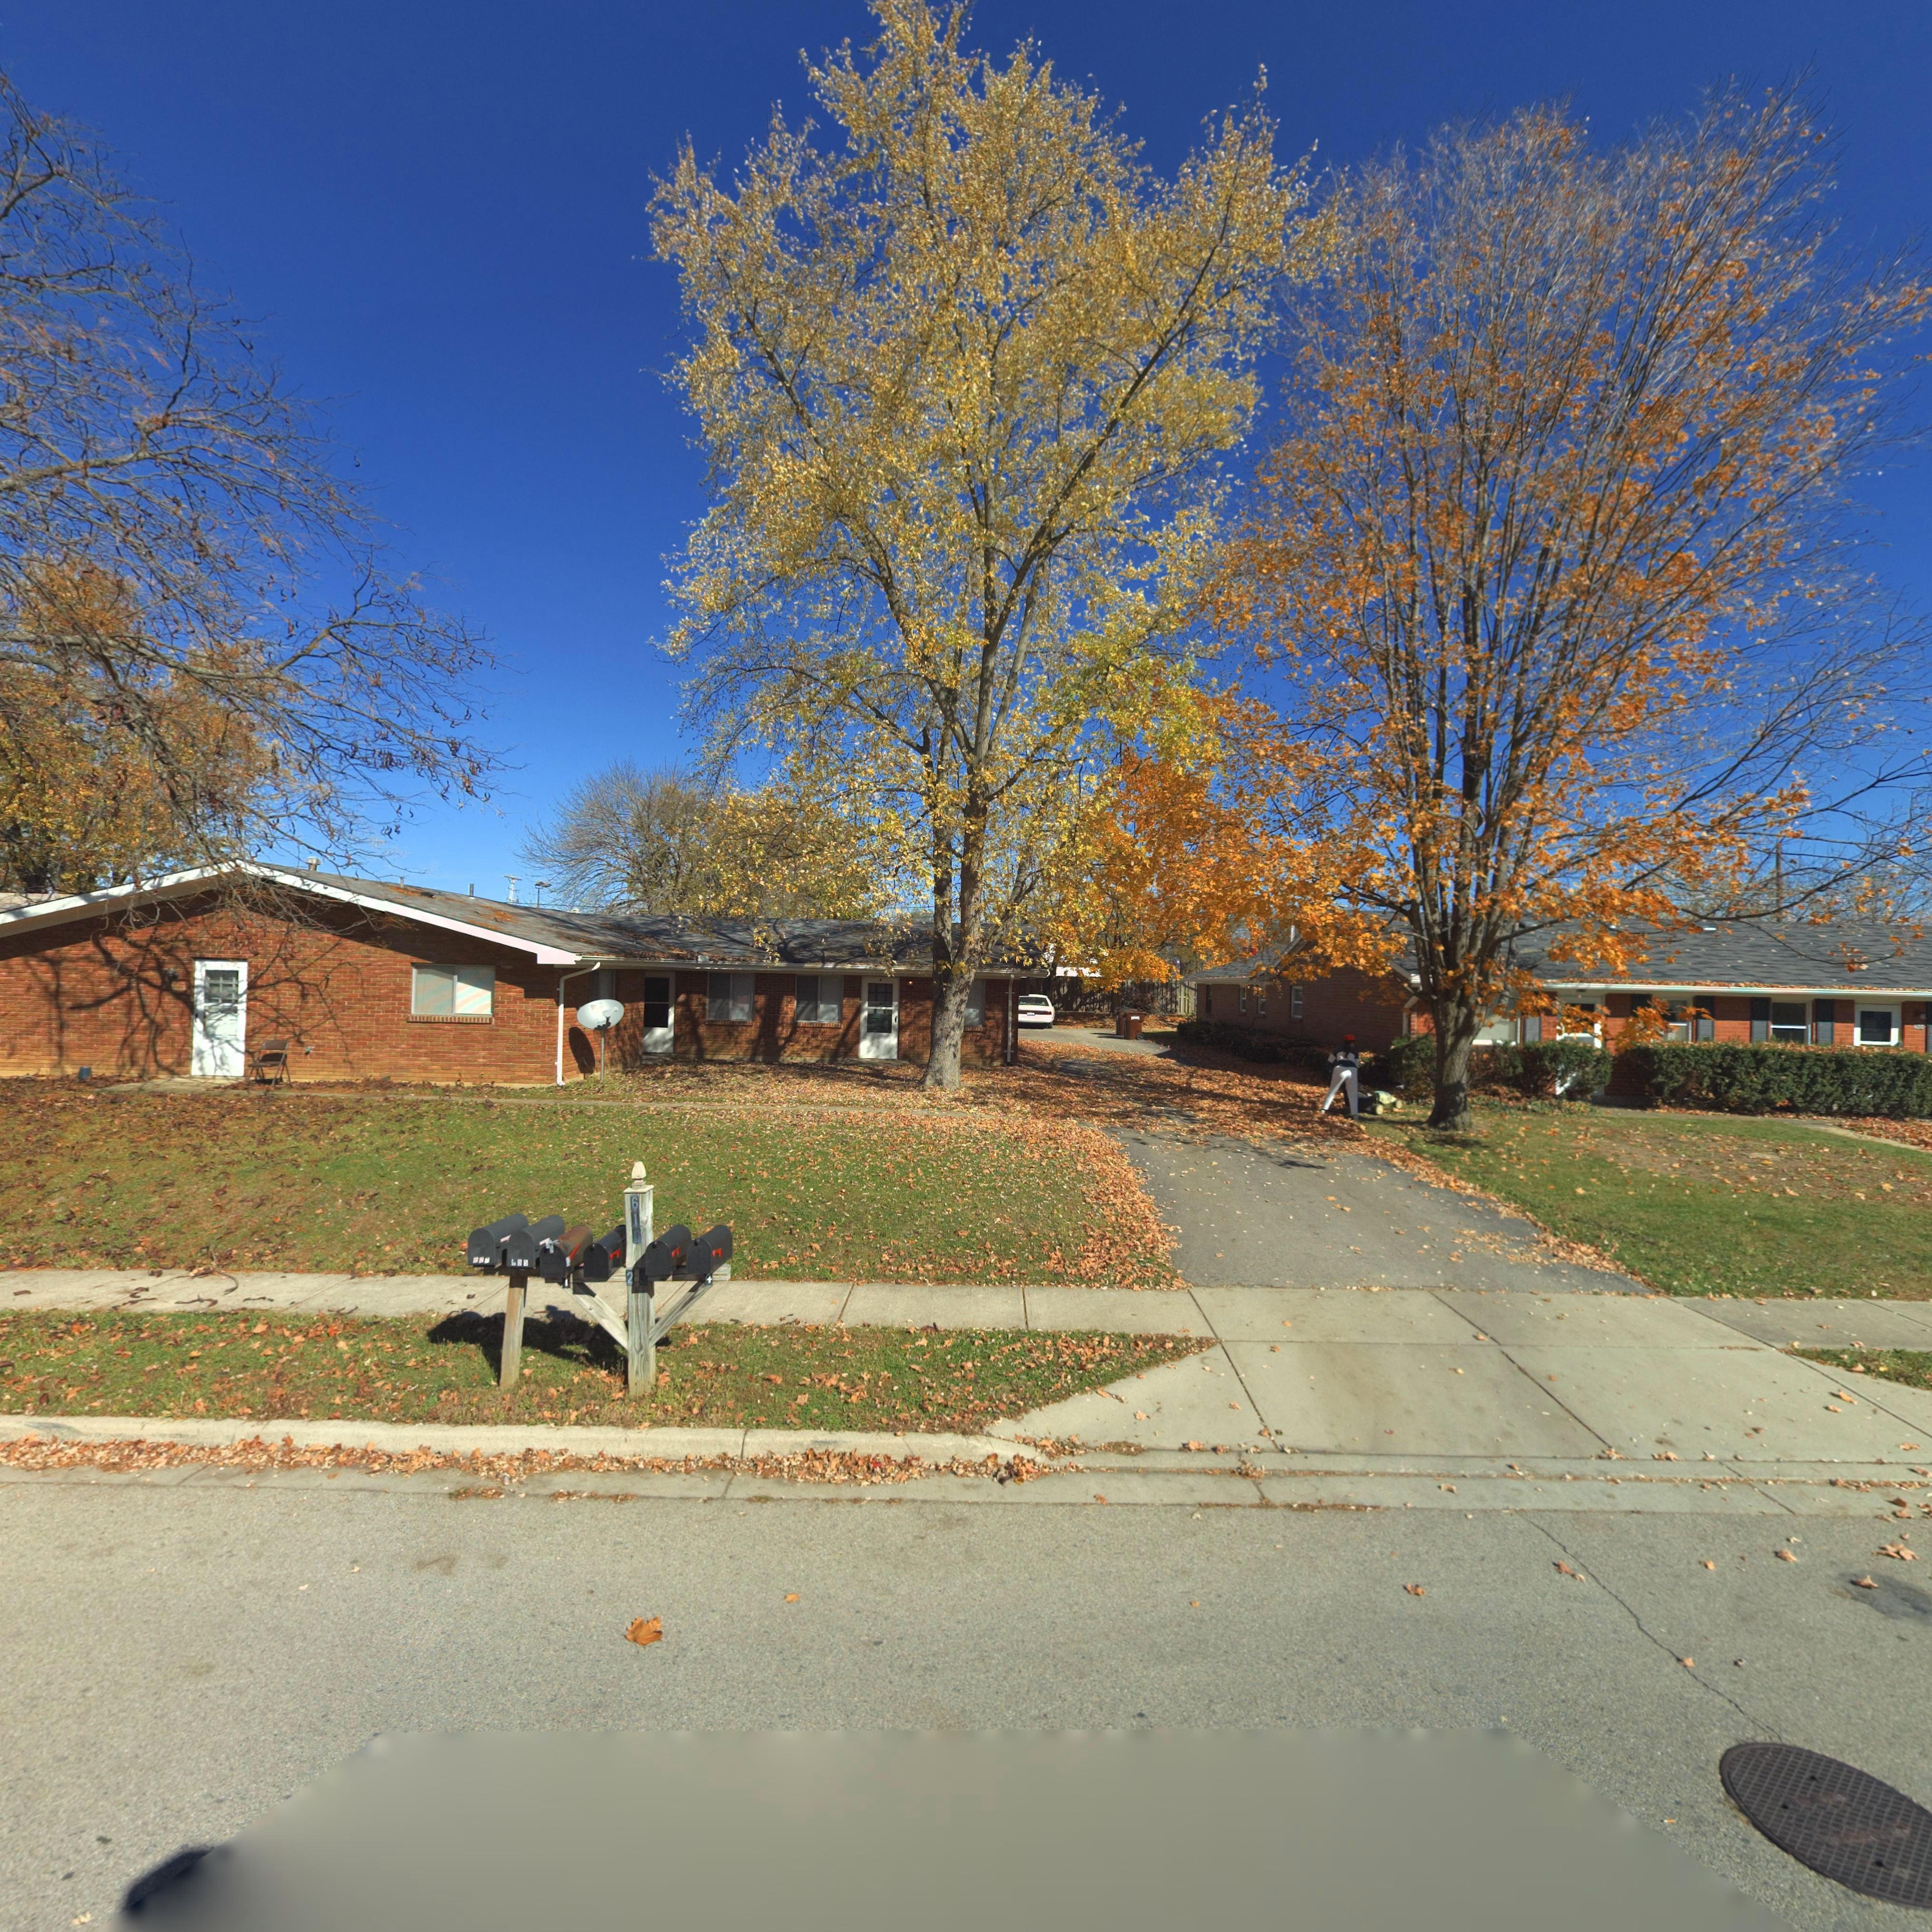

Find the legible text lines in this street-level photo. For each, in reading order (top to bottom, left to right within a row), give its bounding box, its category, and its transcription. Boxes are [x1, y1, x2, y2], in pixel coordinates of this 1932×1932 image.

[630, 1196, 641, 1243] StreetNumber: 610
[474, 1256, 490, 1263] StreetNumber: 607
[512, 1259, 528, 1266] StreetNumber: 605